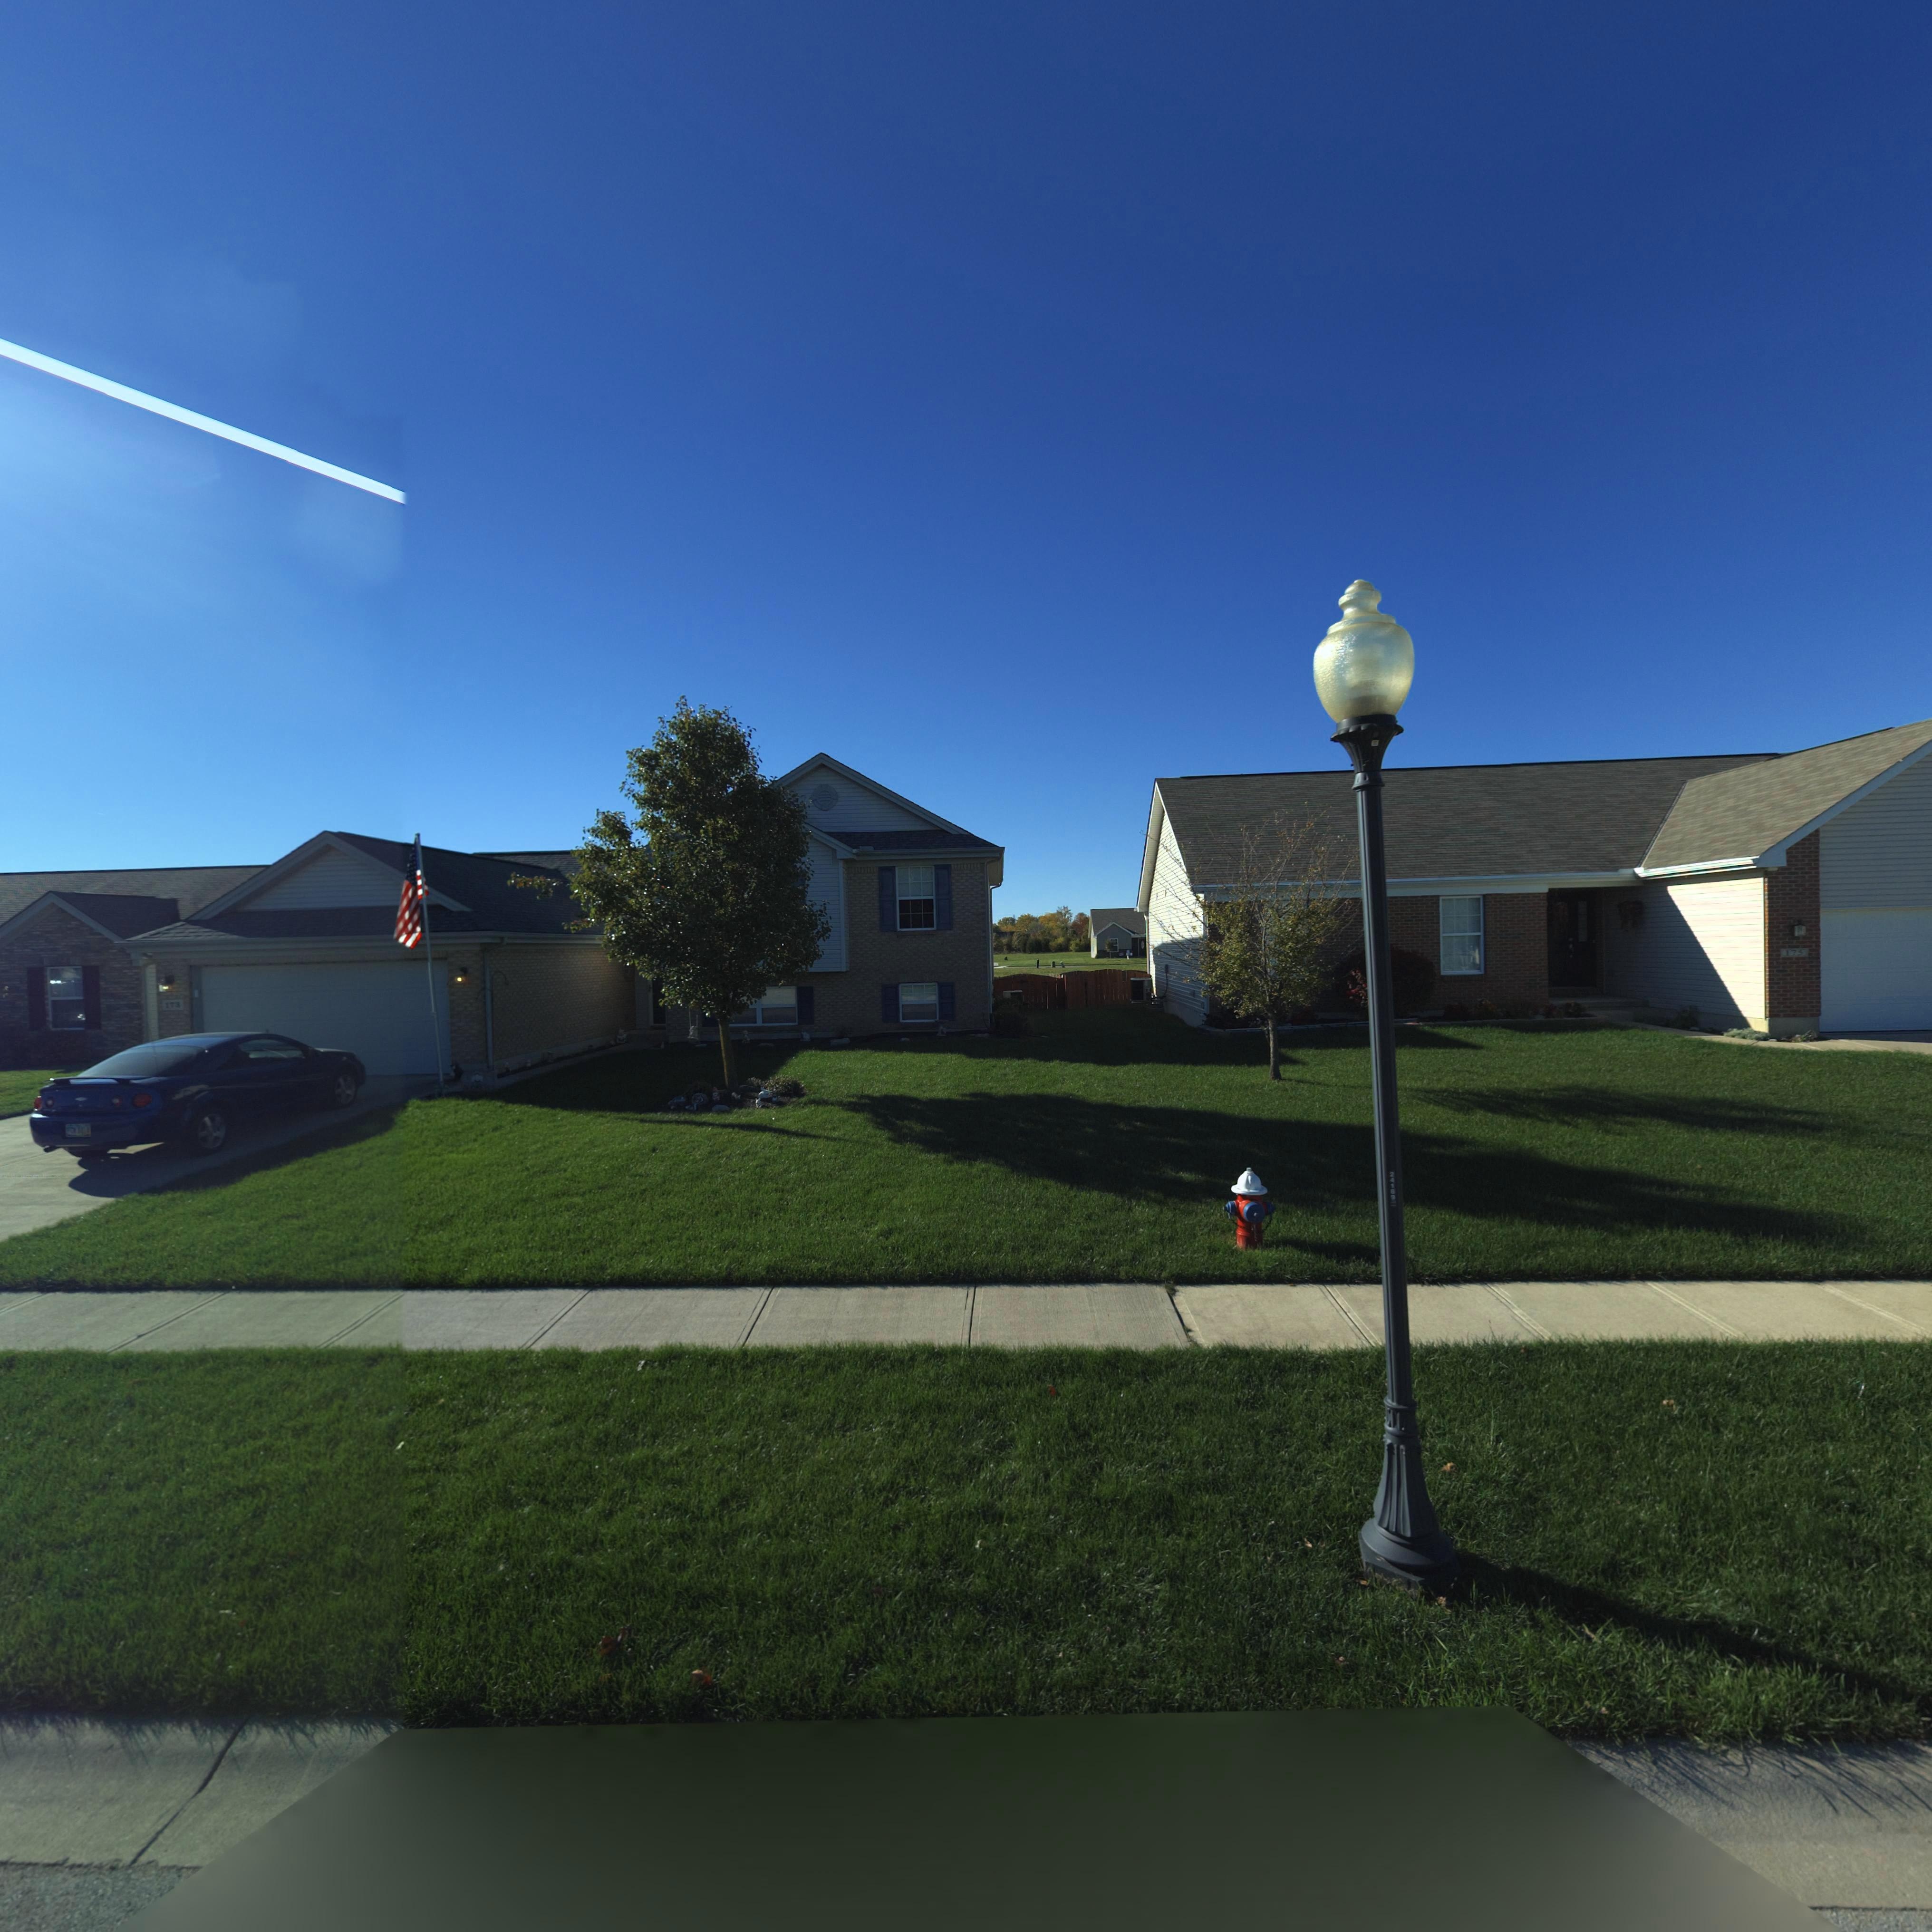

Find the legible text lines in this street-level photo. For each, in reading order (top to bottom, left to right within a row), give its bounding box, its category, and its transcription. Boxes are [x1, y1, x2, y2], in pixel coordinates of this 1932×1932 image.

[1785, 949, 1804, 956] StreetNumber: 175
[164, 1001, 181, 1008] StreetNumber: 173